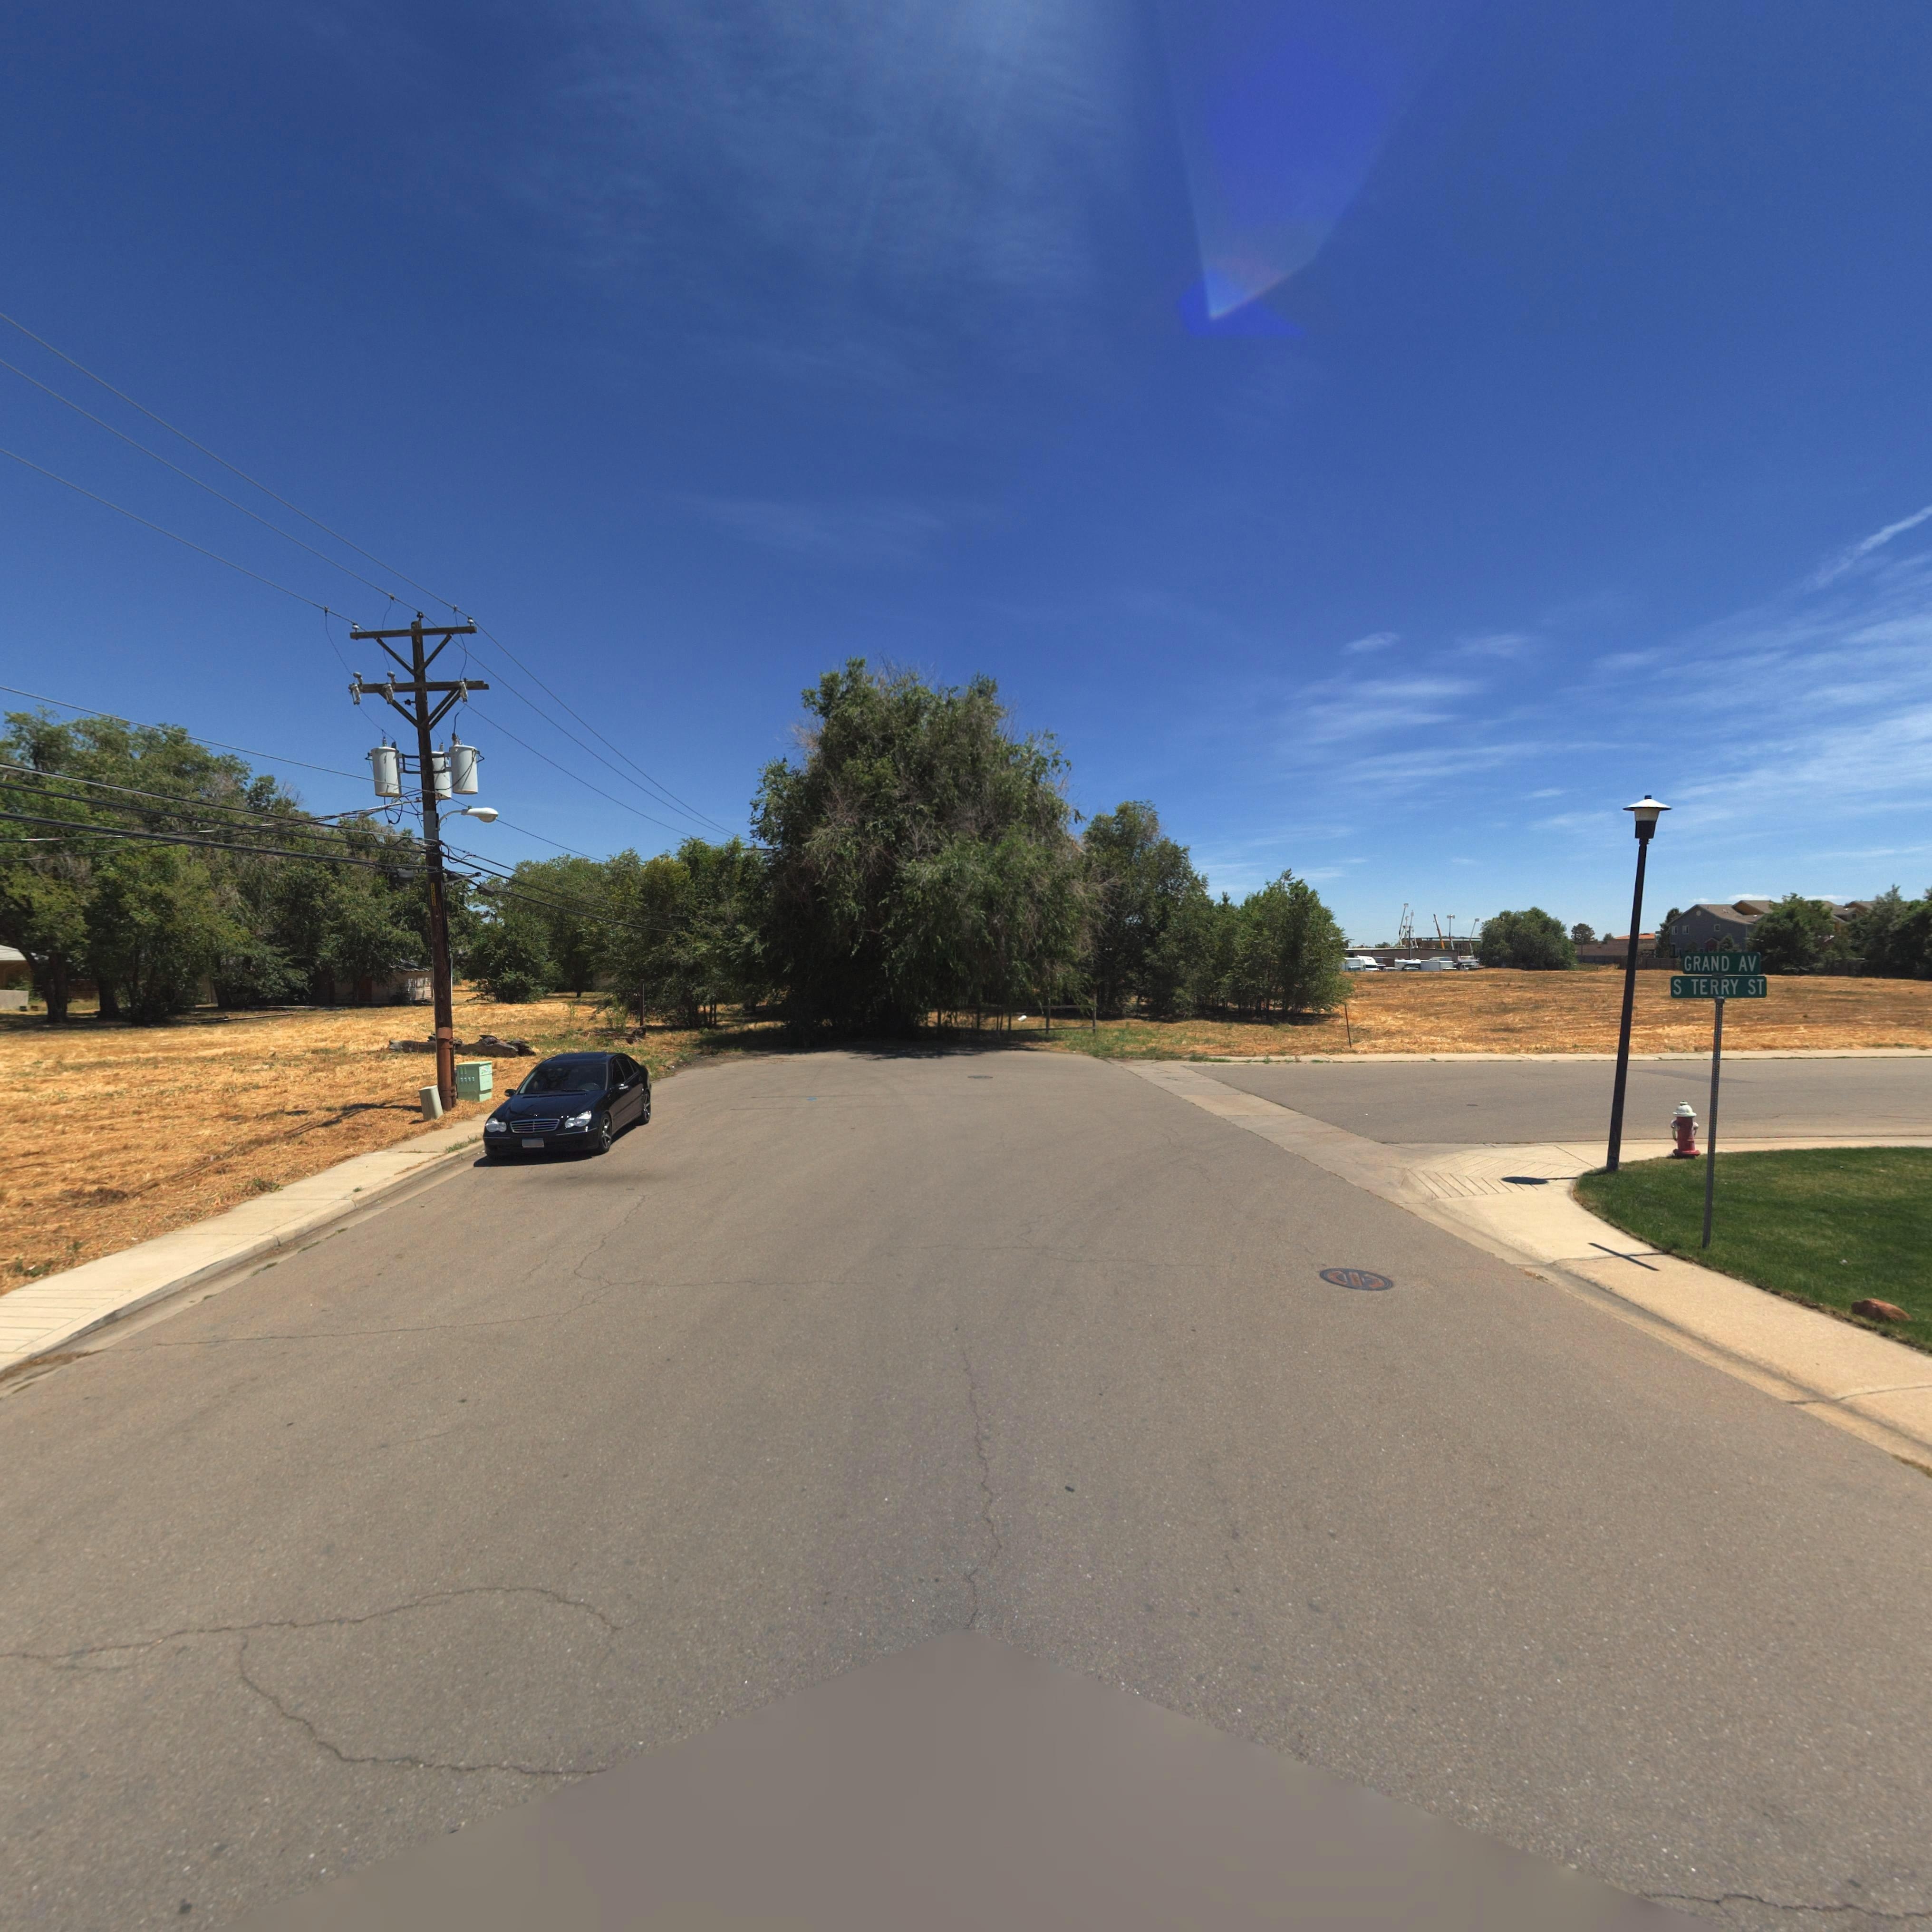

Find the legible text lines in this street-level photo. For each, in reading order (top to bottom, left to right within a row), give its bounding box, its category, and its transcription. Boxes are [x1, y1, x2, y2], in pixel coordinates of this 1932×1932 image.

[1683, 954, 1758, 972] StreetName: GRAND AV
[1672, 978, 1765, 995] StreetName: S TERRY ST